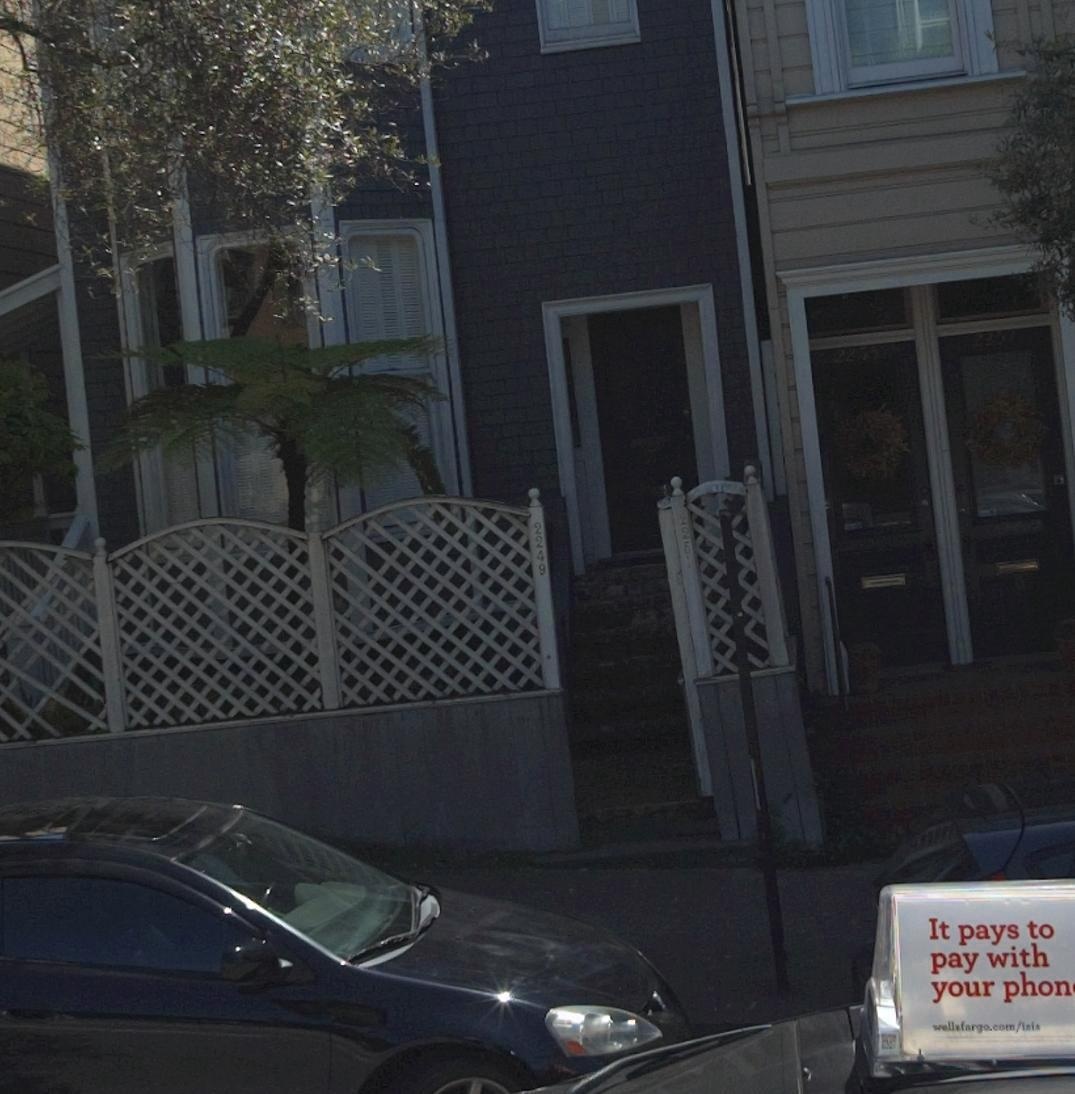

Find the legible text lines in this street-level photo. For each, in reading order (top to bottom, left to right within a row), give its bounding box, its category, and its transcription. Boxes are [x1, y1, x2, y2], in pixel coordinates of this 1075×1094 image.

[832, 344, 880, 365] StreetNumber: 2255
[971, 329, 1017, 348] StreetNumber: 2257
[532, 521, 547, 577] StreetNumber: 2249
[678, 511, 693, 570] StreetNumber: 2251
[928, 917, 1055, 946] None: It pays to
[929, 942, 1050, 975] None: pay with
[930, 970, 1073, 1005] None: your phon
[932, 1020, 1016, 1034] None: wellsfargo.com